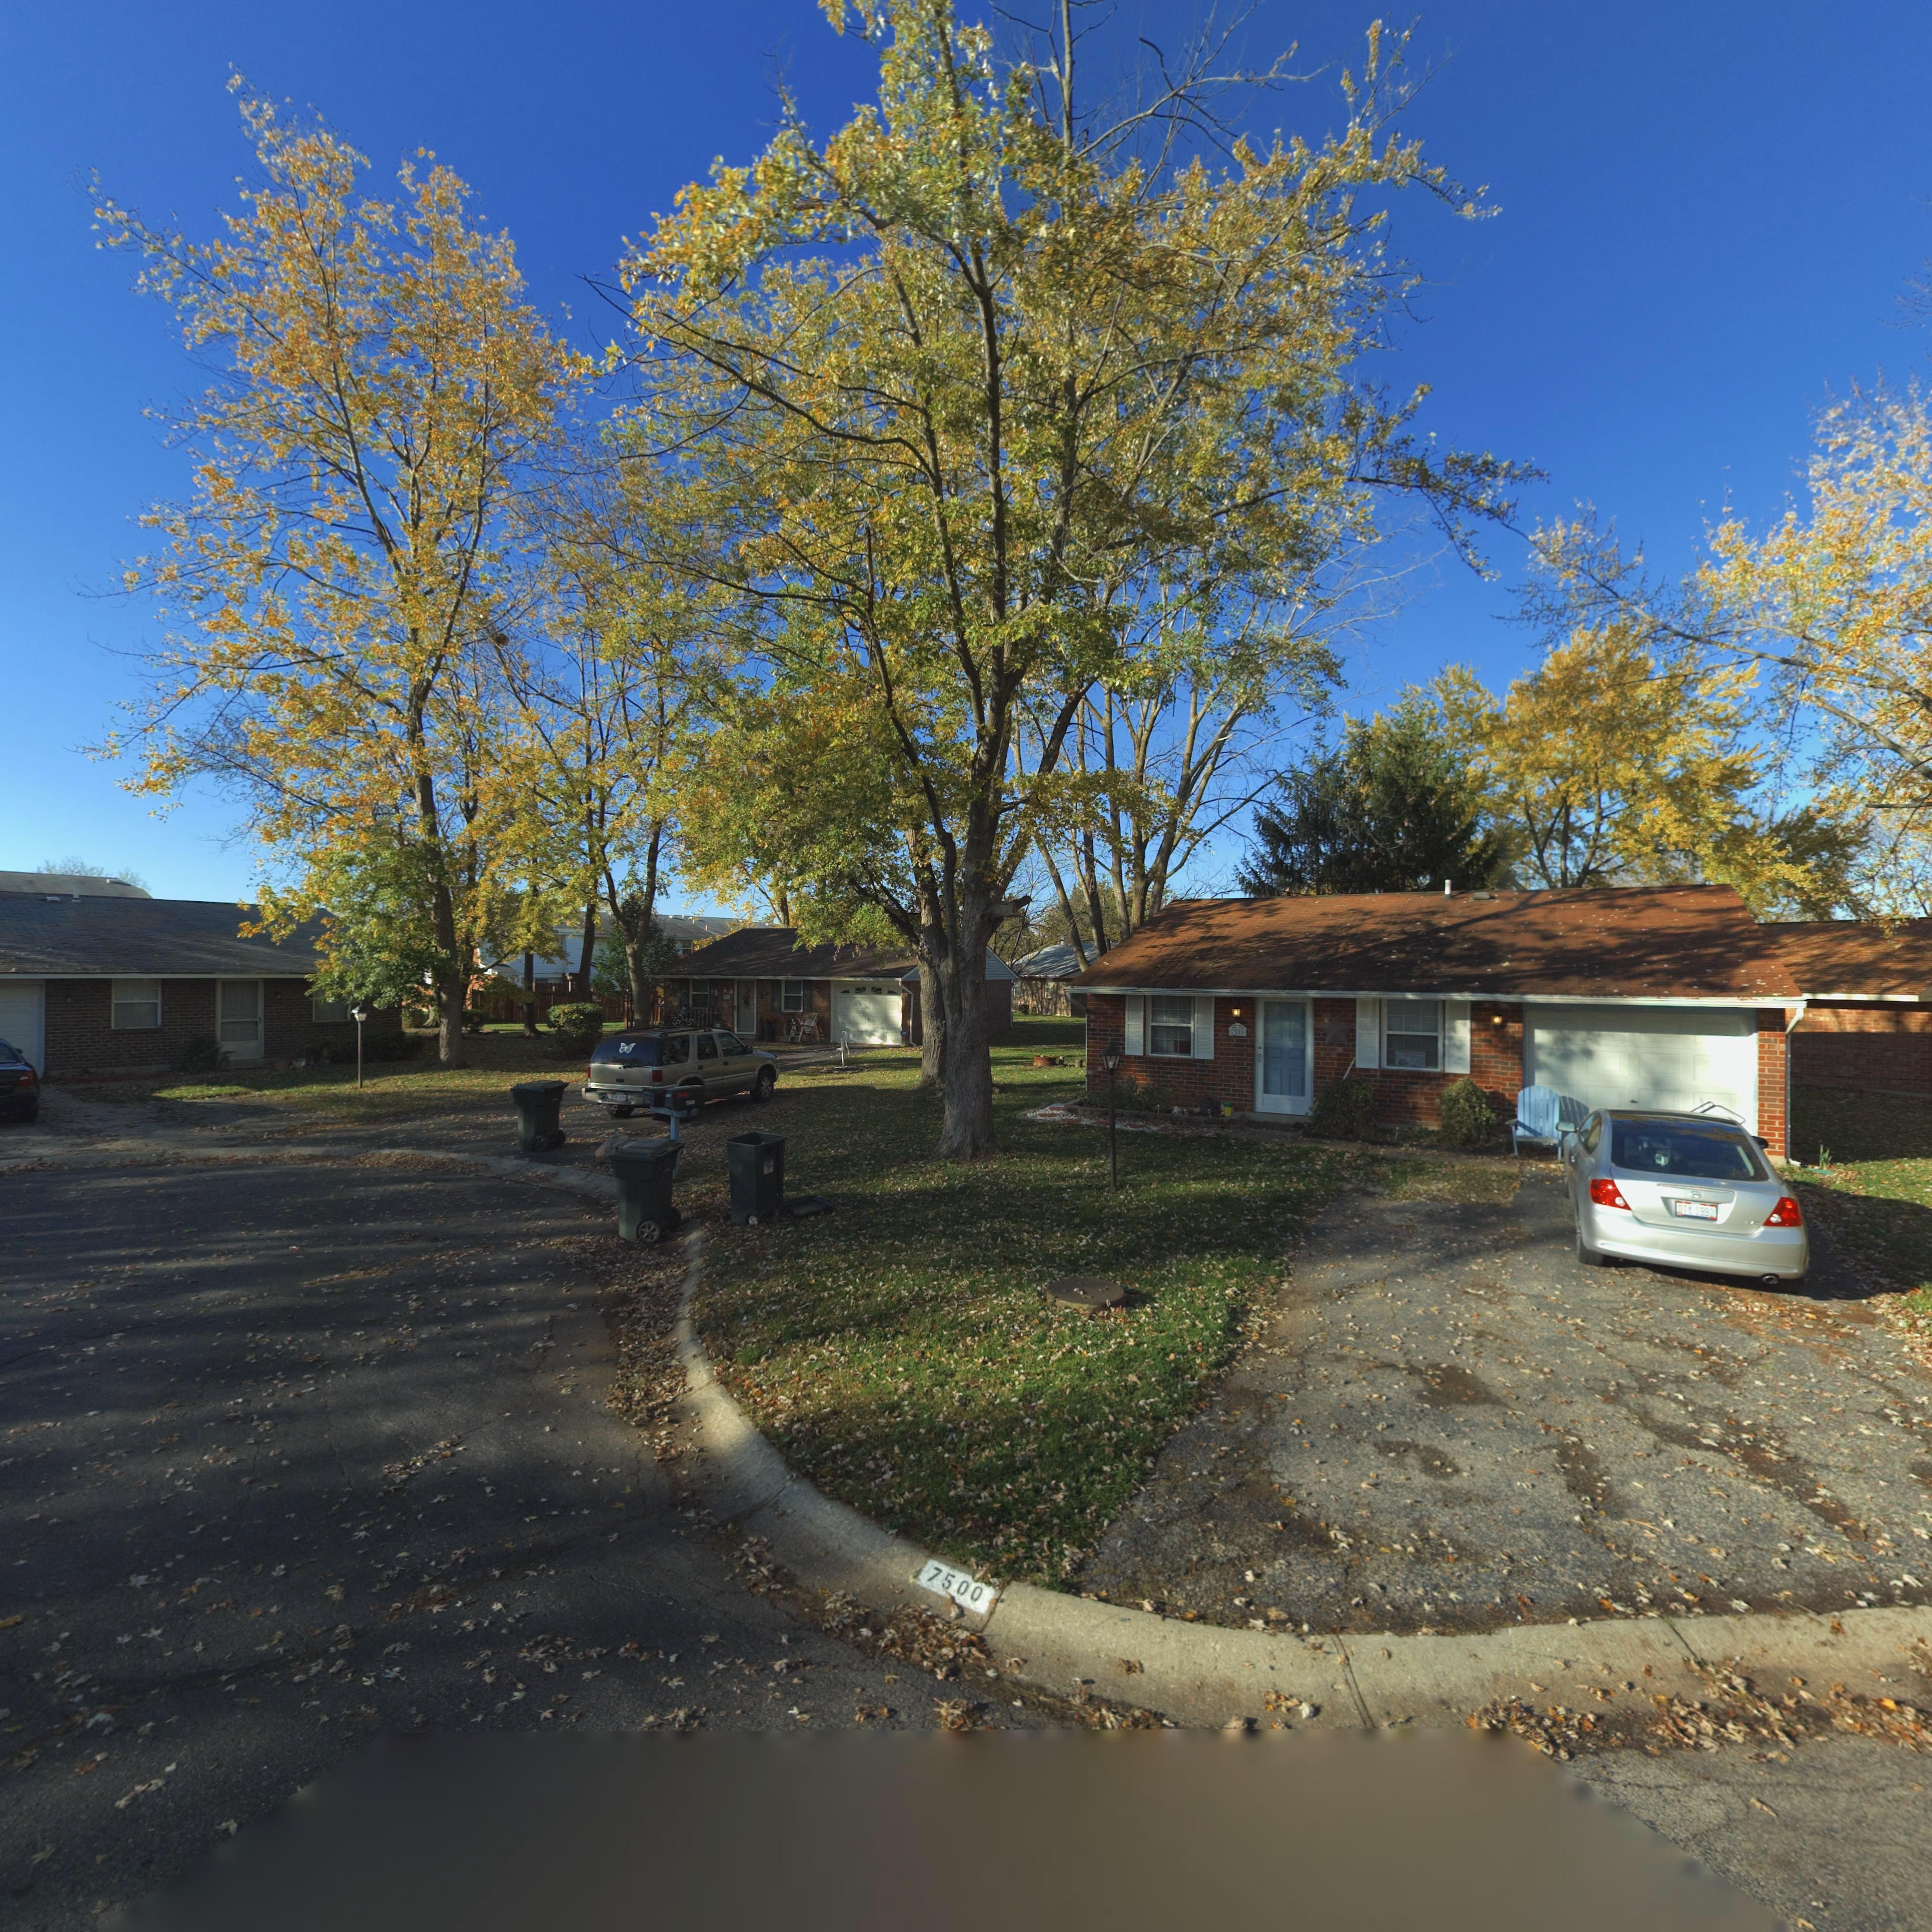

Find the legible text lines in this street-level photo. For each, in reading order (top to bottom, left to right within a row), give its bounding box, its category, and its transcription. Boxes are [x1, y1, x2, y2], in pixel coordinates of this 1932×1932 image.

[1230, 1028, 1245, 1035] StreetNumber: *50*
[1676, 1203, 1717, 1219] None: *** 1990
[923, 1562, 985, 1605] StreetNumber: 7500